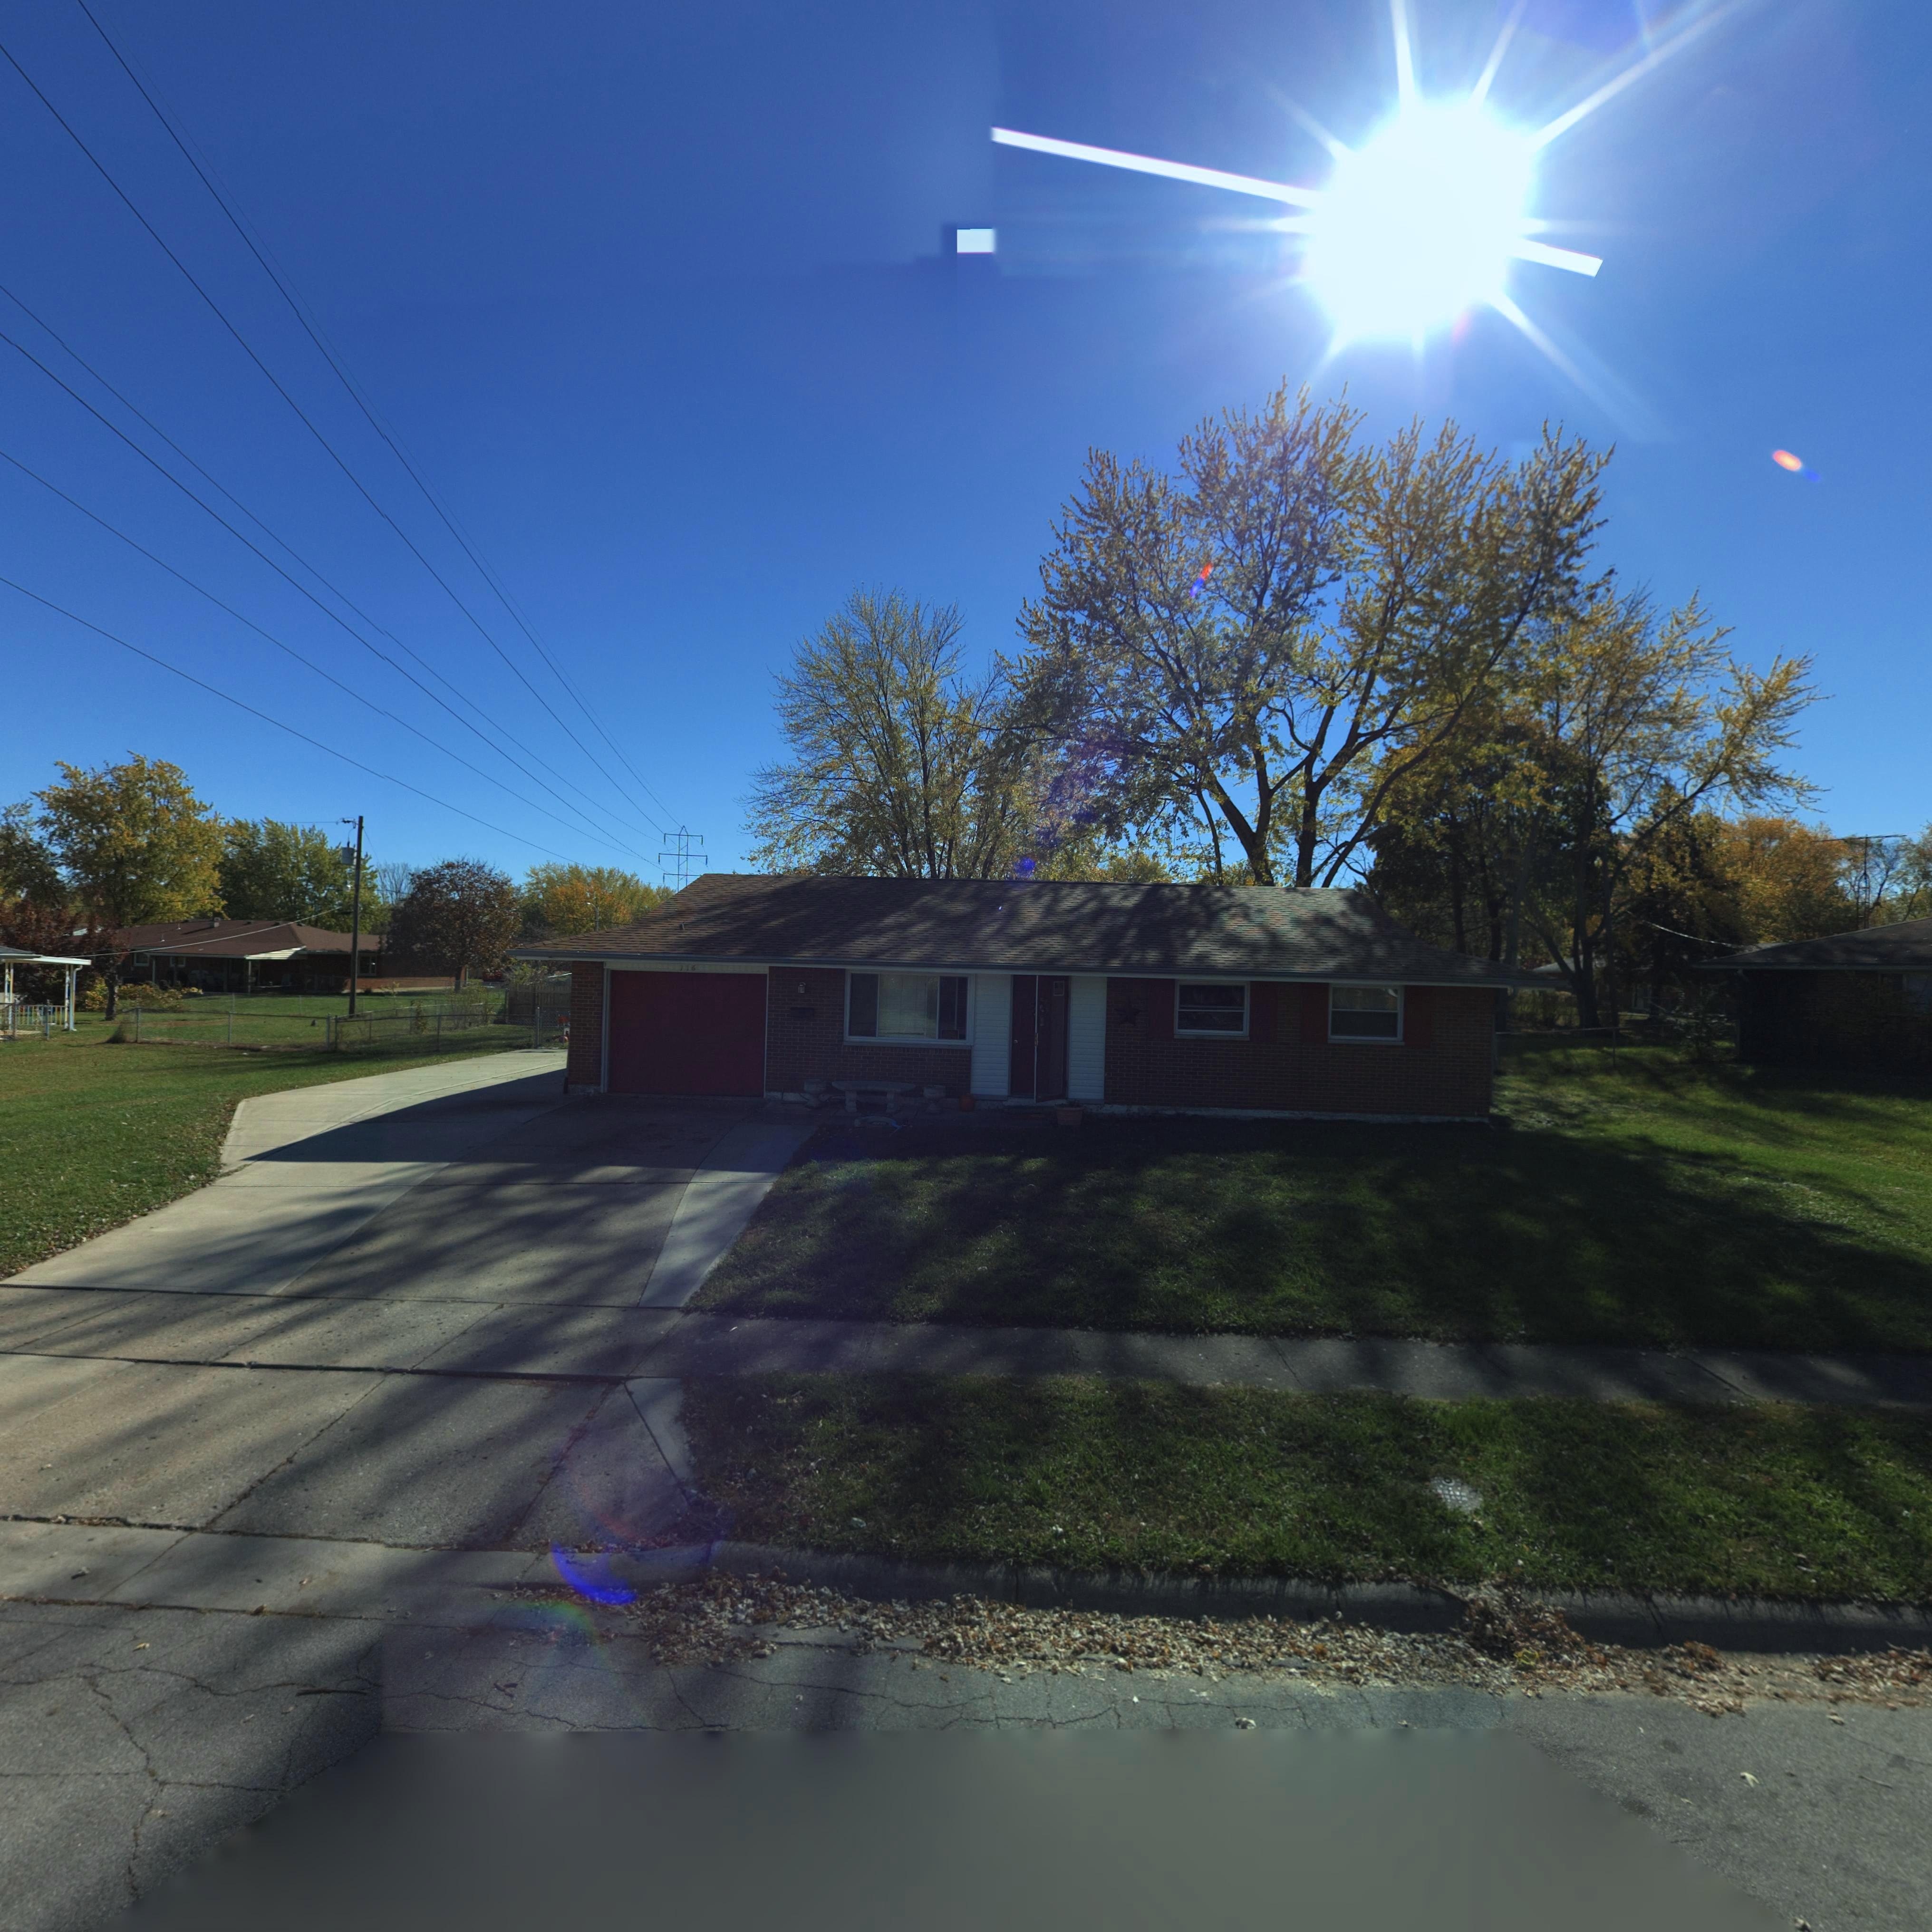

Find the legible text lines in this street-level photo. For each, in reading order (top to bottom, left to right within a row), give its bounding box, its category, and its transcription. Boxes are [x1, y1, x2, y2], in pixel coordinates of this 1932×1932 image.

[679, 964, 697, 972] StreetNumber: 116